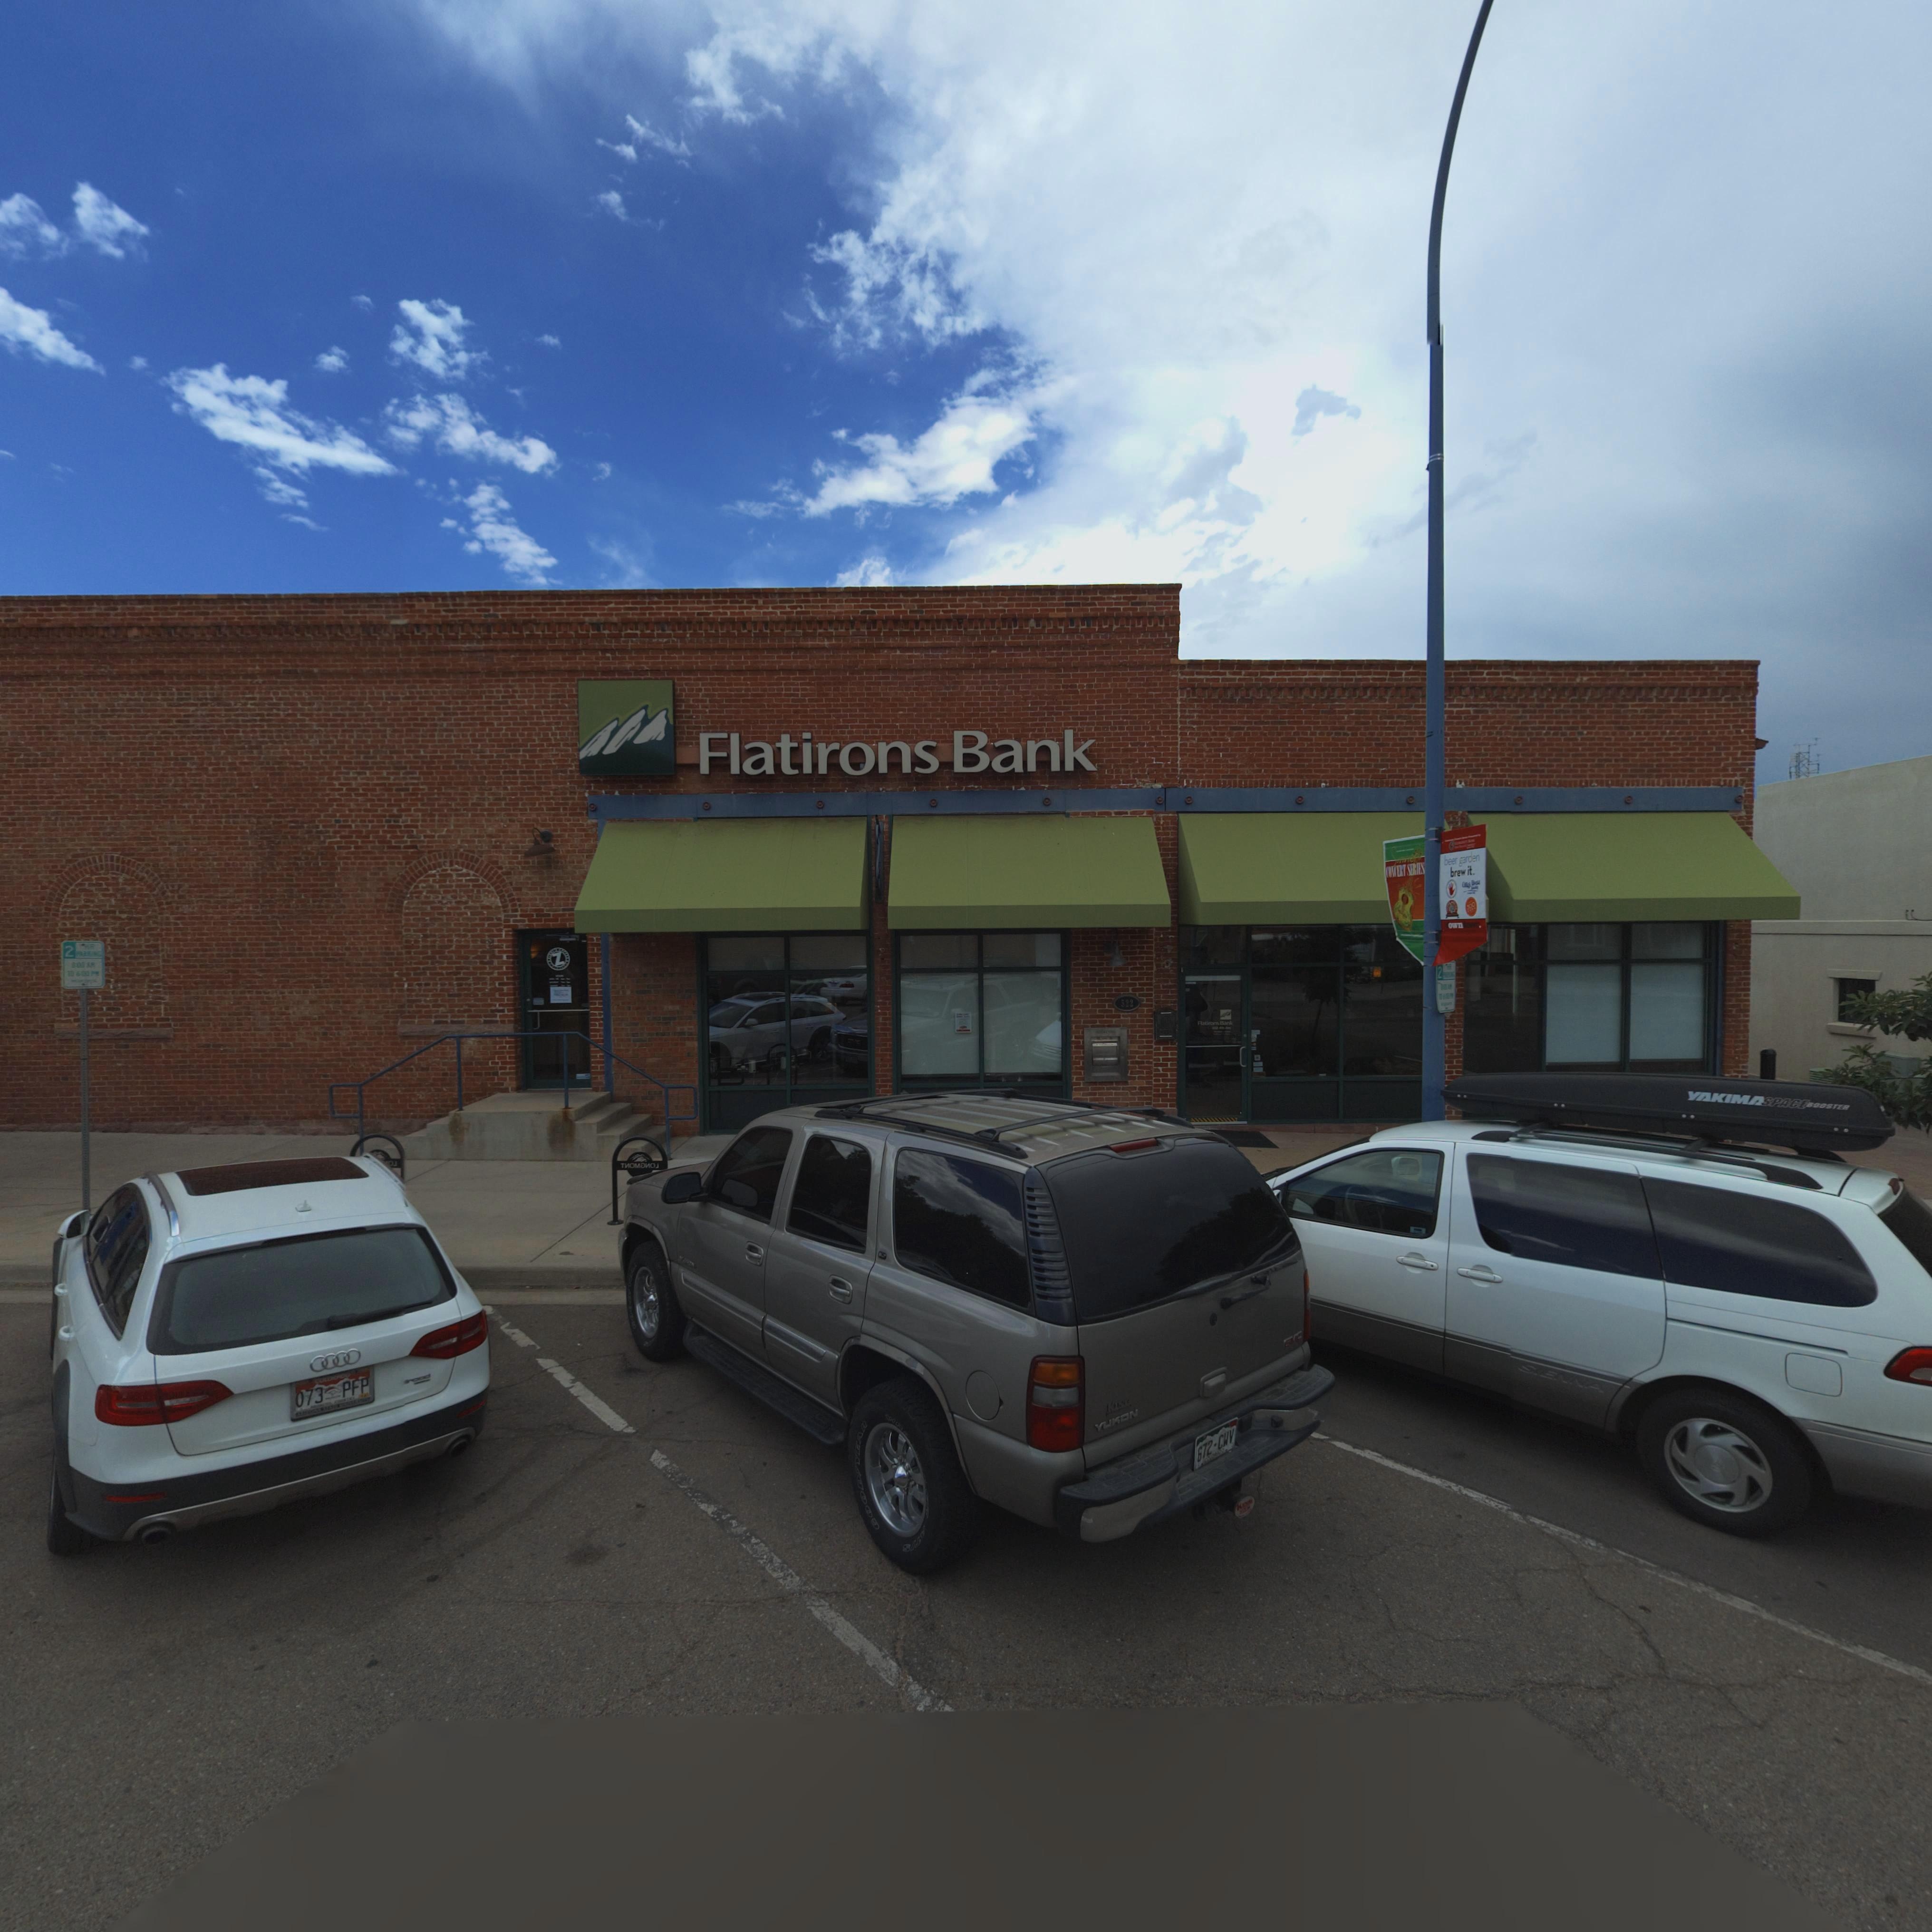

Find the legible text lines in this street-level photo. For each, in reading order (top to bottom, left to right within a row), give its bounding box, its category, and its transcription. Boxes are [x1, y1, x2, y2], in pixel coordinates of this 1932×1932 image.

[698, 729, 1098, 774] BusinessName: Flatirons Bank
[1121, 999, 1133, 1007] StreetNumber: 522
[1198, 1020, 1232, 1025] BusinessName: Flatirons Bank